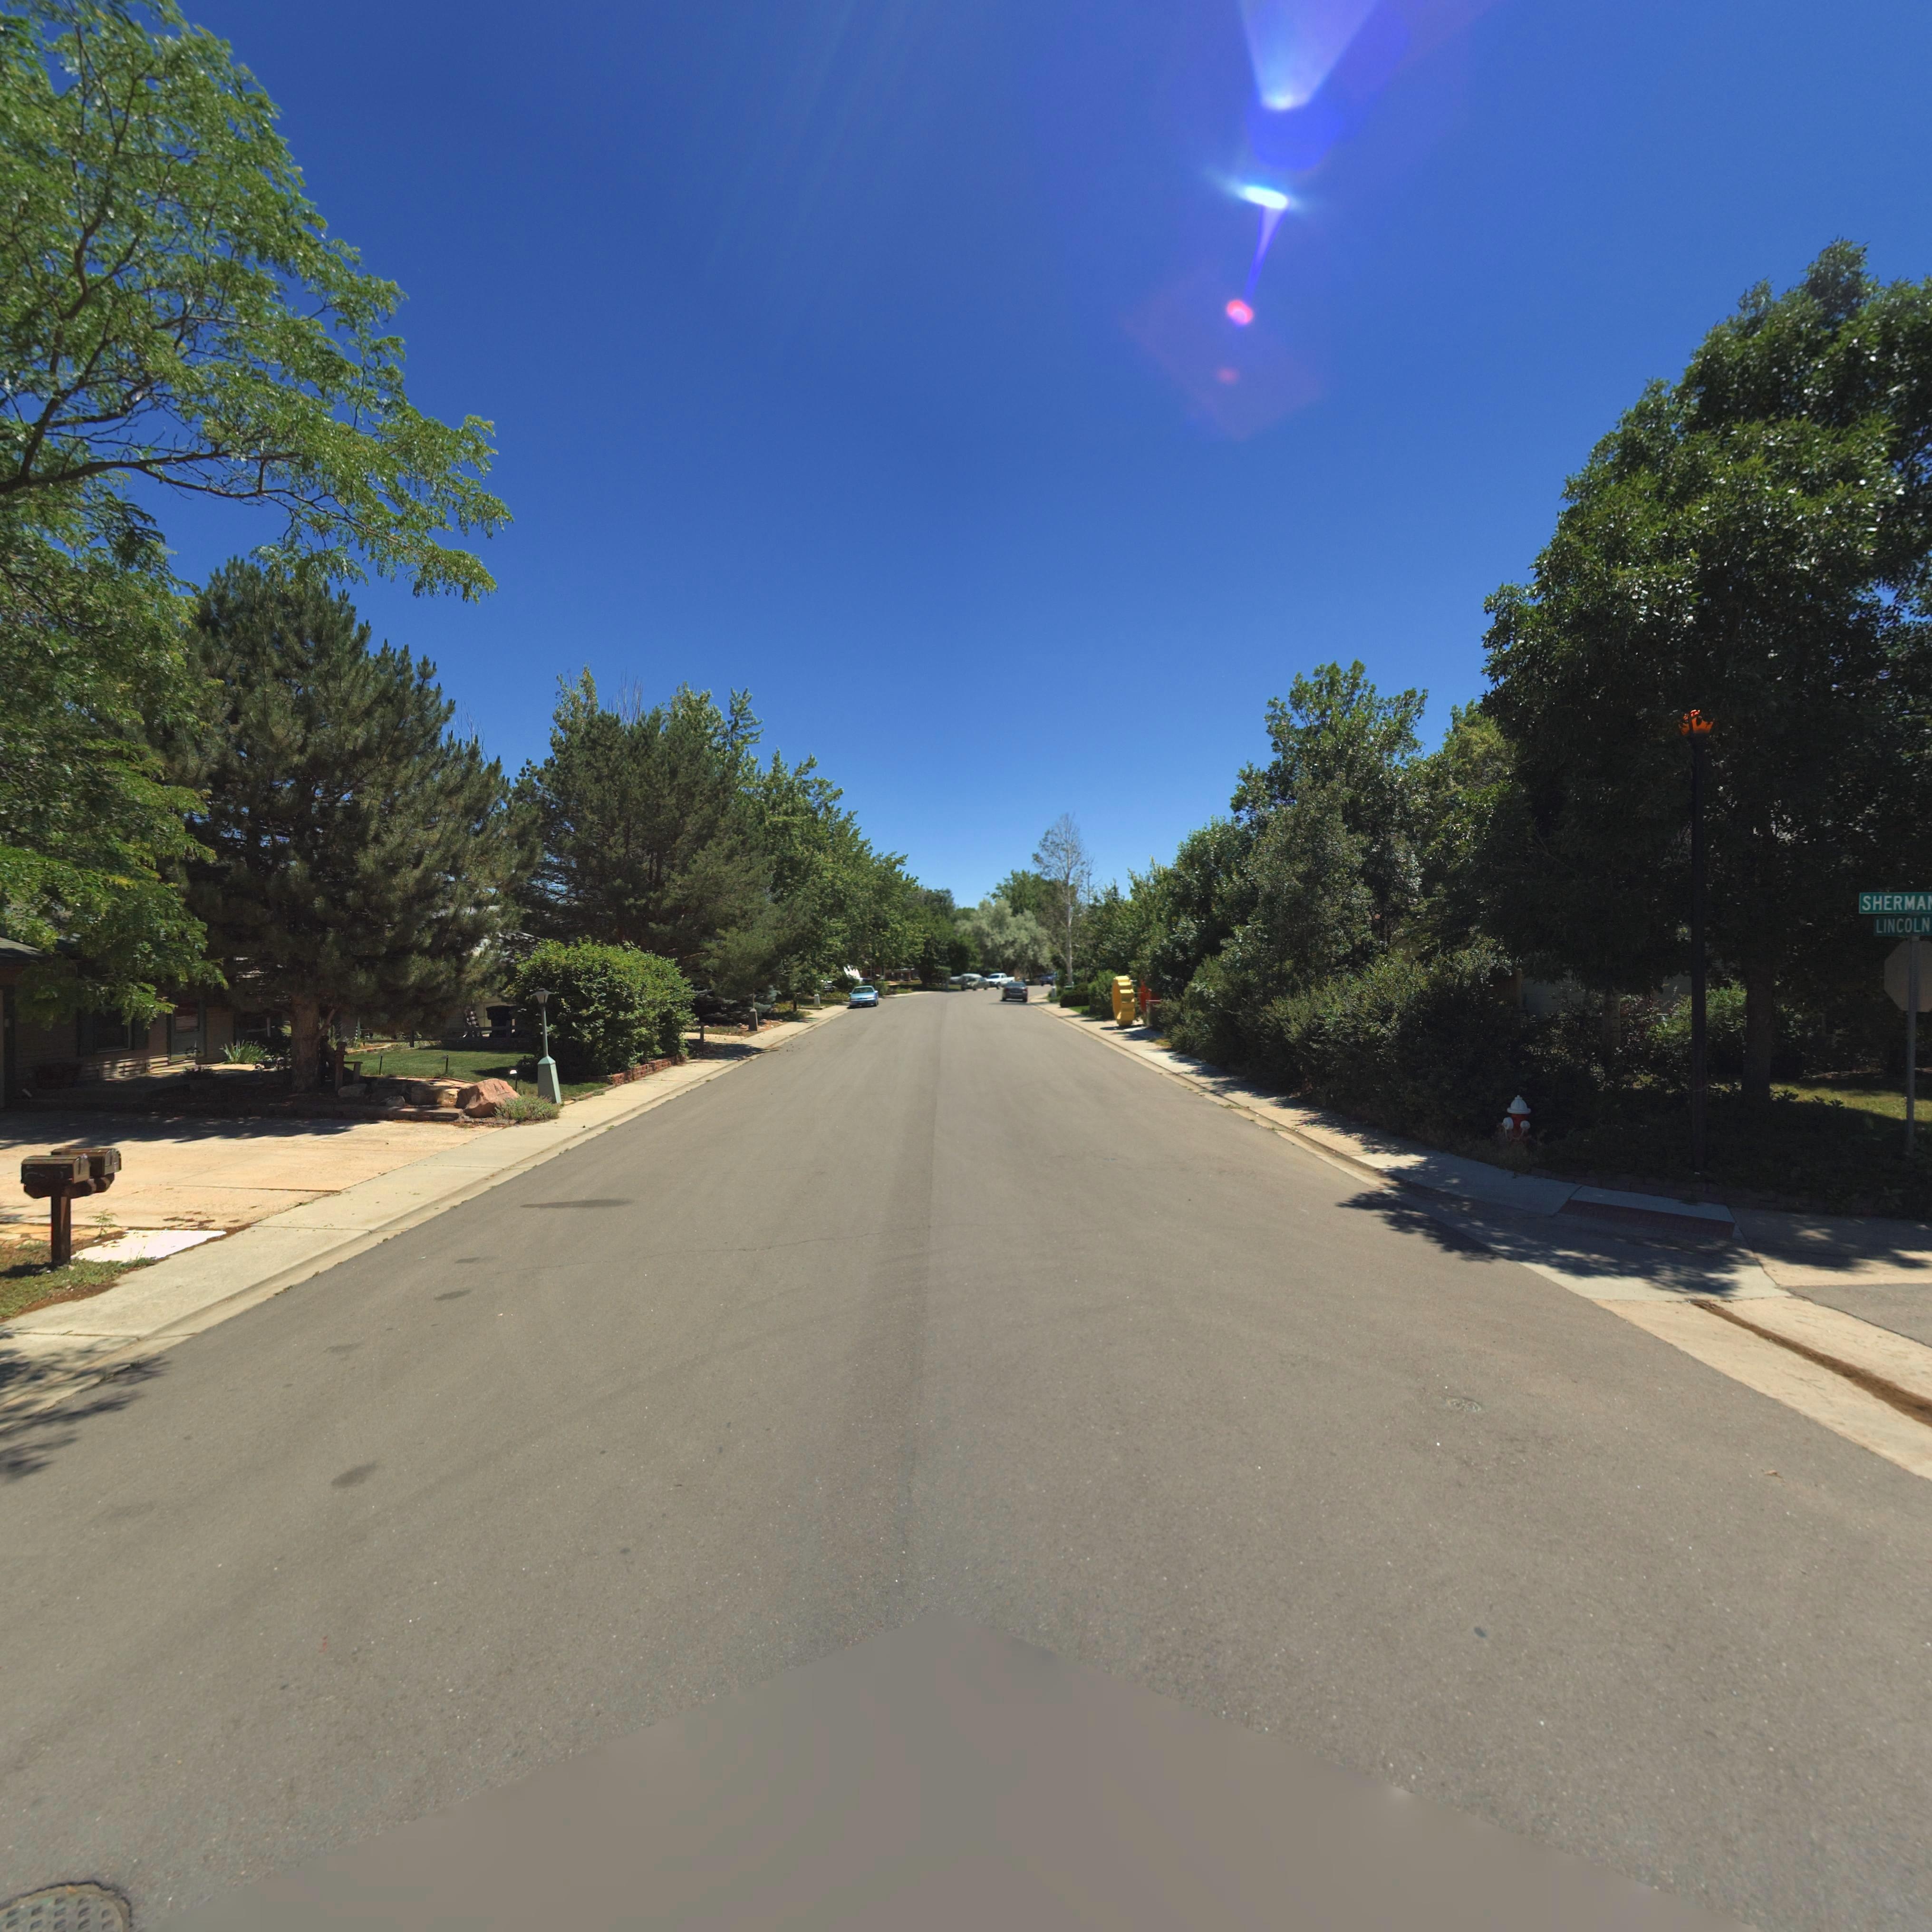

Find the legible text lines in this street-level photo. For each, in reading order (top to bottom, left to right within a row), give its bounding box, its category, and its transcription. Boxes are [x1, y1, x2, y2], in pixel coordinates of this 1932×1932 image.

[1863, 895, 1927, 910] StreetName: SHERMA
[1876, 917, 1929, 933] StreetName: LINCOLN